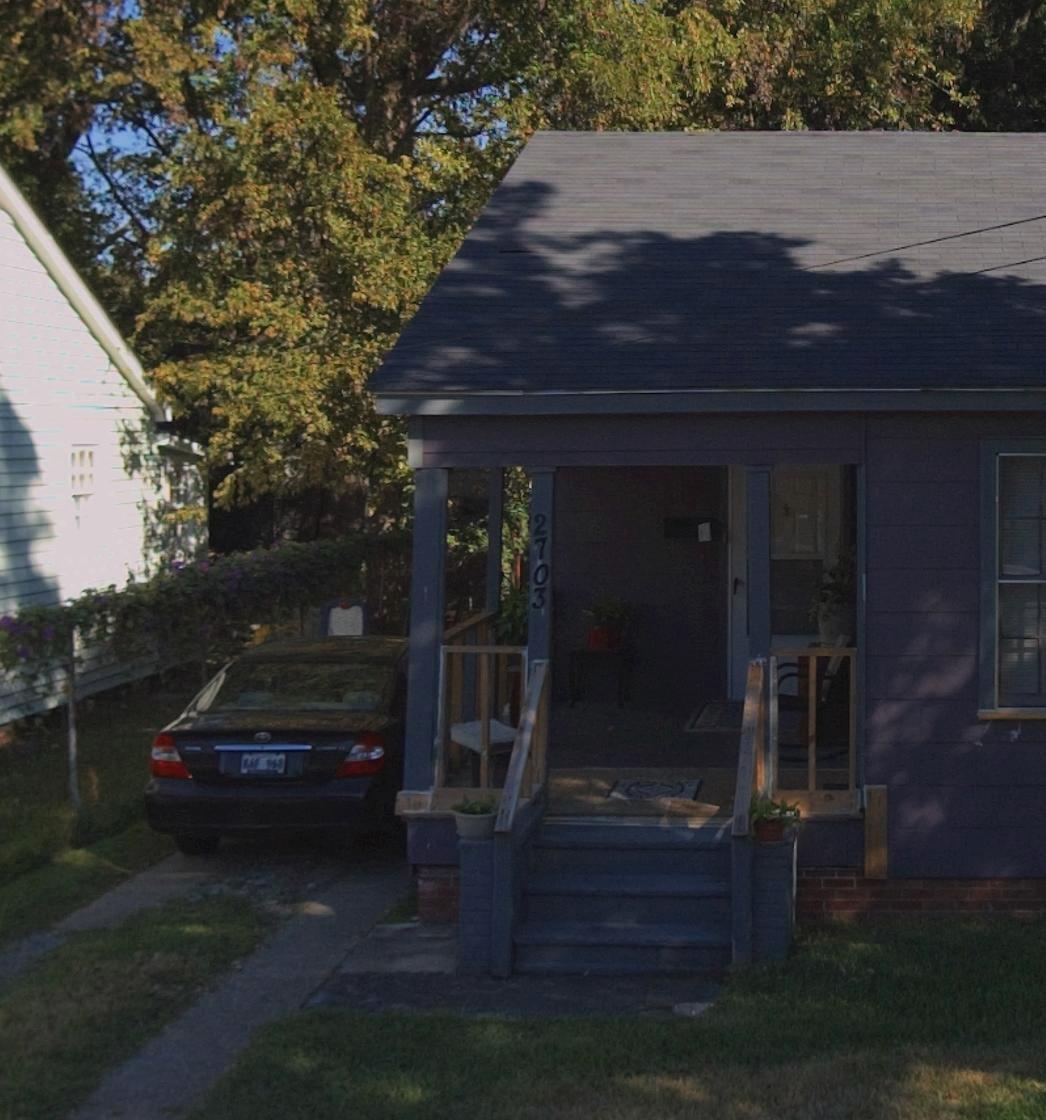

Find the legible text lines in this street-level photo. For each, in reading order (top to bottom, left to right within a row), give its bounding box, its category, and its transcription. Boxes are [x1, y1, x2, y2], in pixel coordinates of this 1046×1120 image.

[529, 511, 552, 611] StreetNumber: 2703